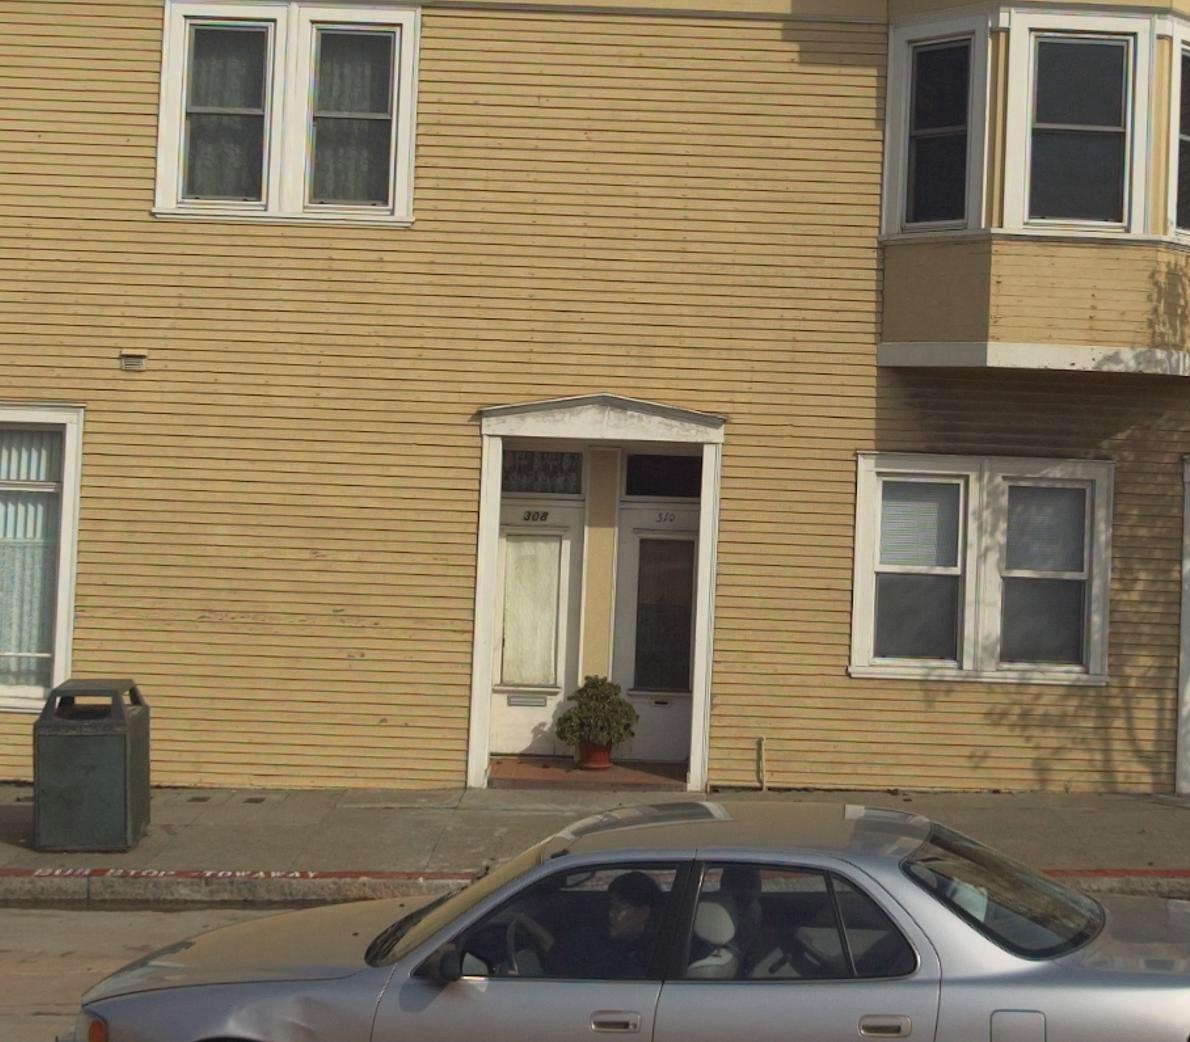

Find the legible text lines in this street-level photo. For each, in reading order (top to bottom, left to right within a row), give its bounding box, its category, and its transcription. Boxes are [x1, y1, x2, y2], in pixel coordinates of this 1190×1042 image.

[523, 510, 551, 522] StreetNumber: 308
[653, 512, 677, 524] StreetNumber: 310
[122, 867, 322, 880] None: TOP - TOWAWAY